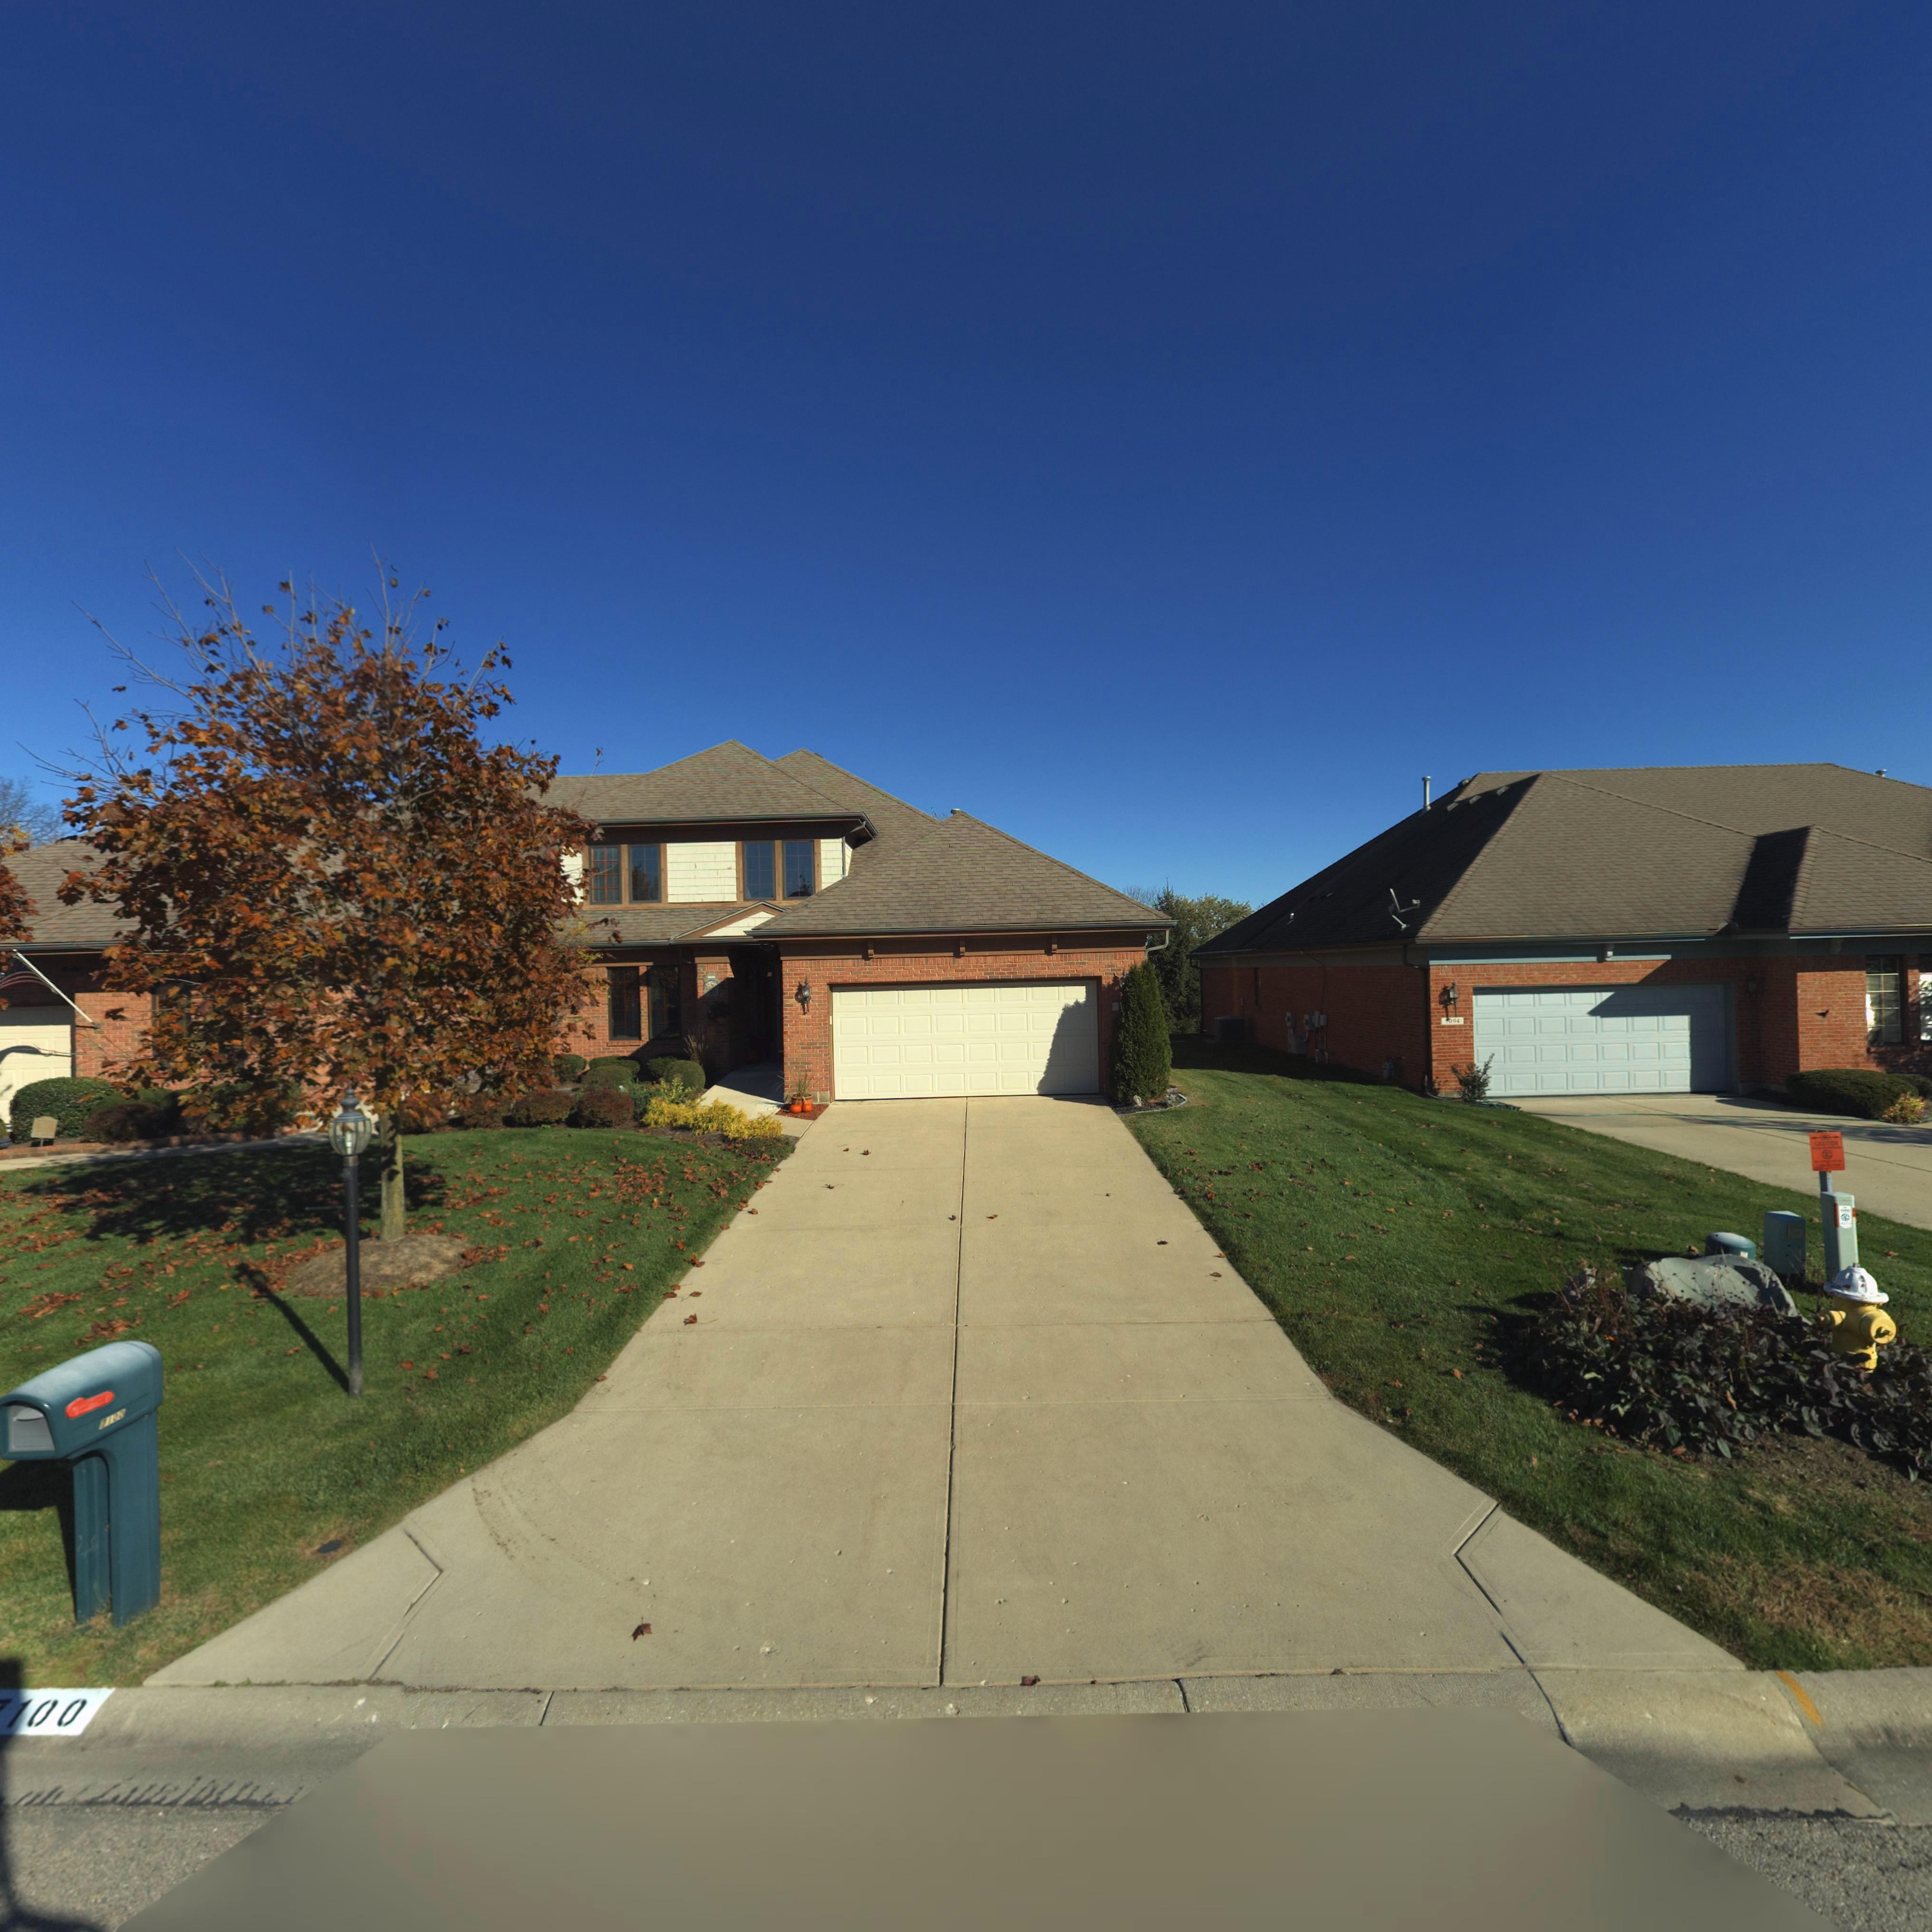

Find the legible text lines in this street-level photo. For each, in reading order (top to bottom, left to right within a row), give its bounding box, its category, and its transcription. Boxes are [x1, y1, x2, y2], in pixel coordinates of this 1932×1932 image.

[1117, 1004, 1120, 1008] StreetNumber: 7
[1445, 1018, 1460, 1024] StreetNumber: 7094
[99, 1408, 126, 1430] StreetNumber: 7100
[4, 1697, 89, 1728] StreetNumber: 100